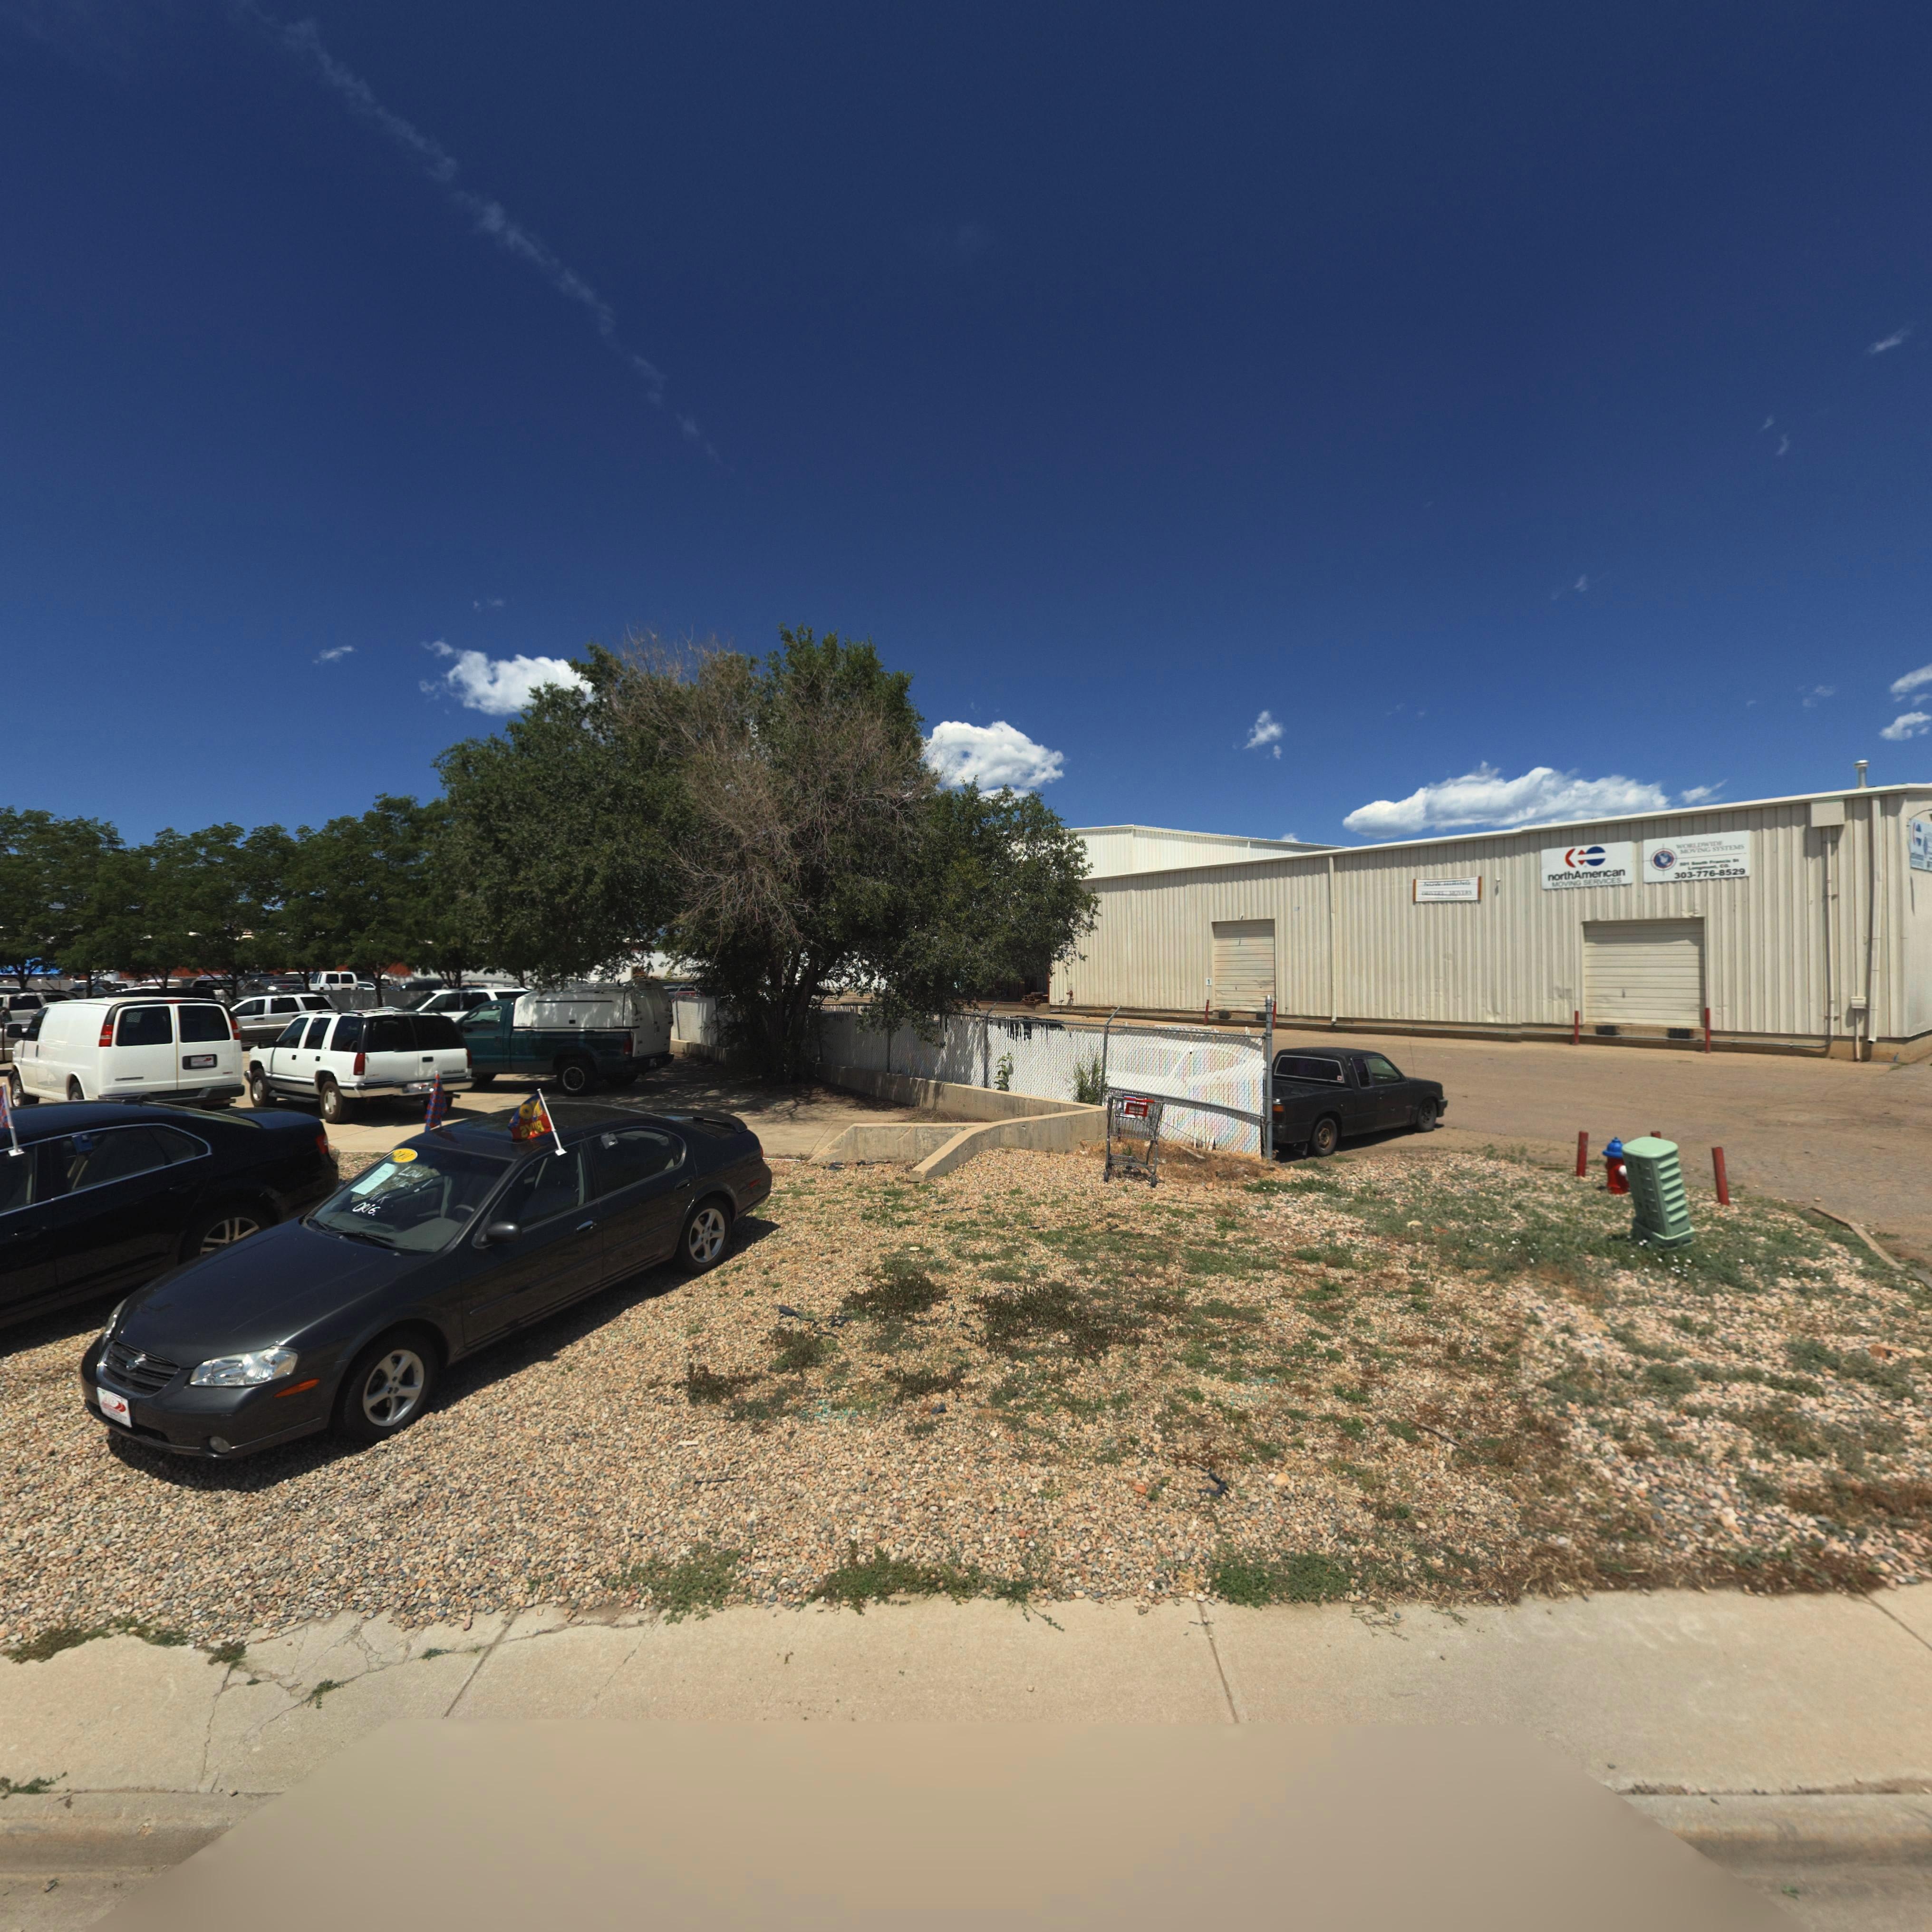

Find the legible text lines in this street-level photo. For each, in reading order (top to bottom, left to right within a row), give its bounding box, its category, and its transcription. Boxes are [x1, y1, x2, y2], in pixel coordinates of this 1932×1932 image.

[1675, 840, 1724, 850] BusinessName: WO*LD**DE
[1679, 843, 1745, 854] BusinessName: MOVING SYSTEMS
[1546, 868, 1625, 881] BusinessName: northAmerican
[1551, 877, 1622, 888] BusinessName: MOVING SERVICES